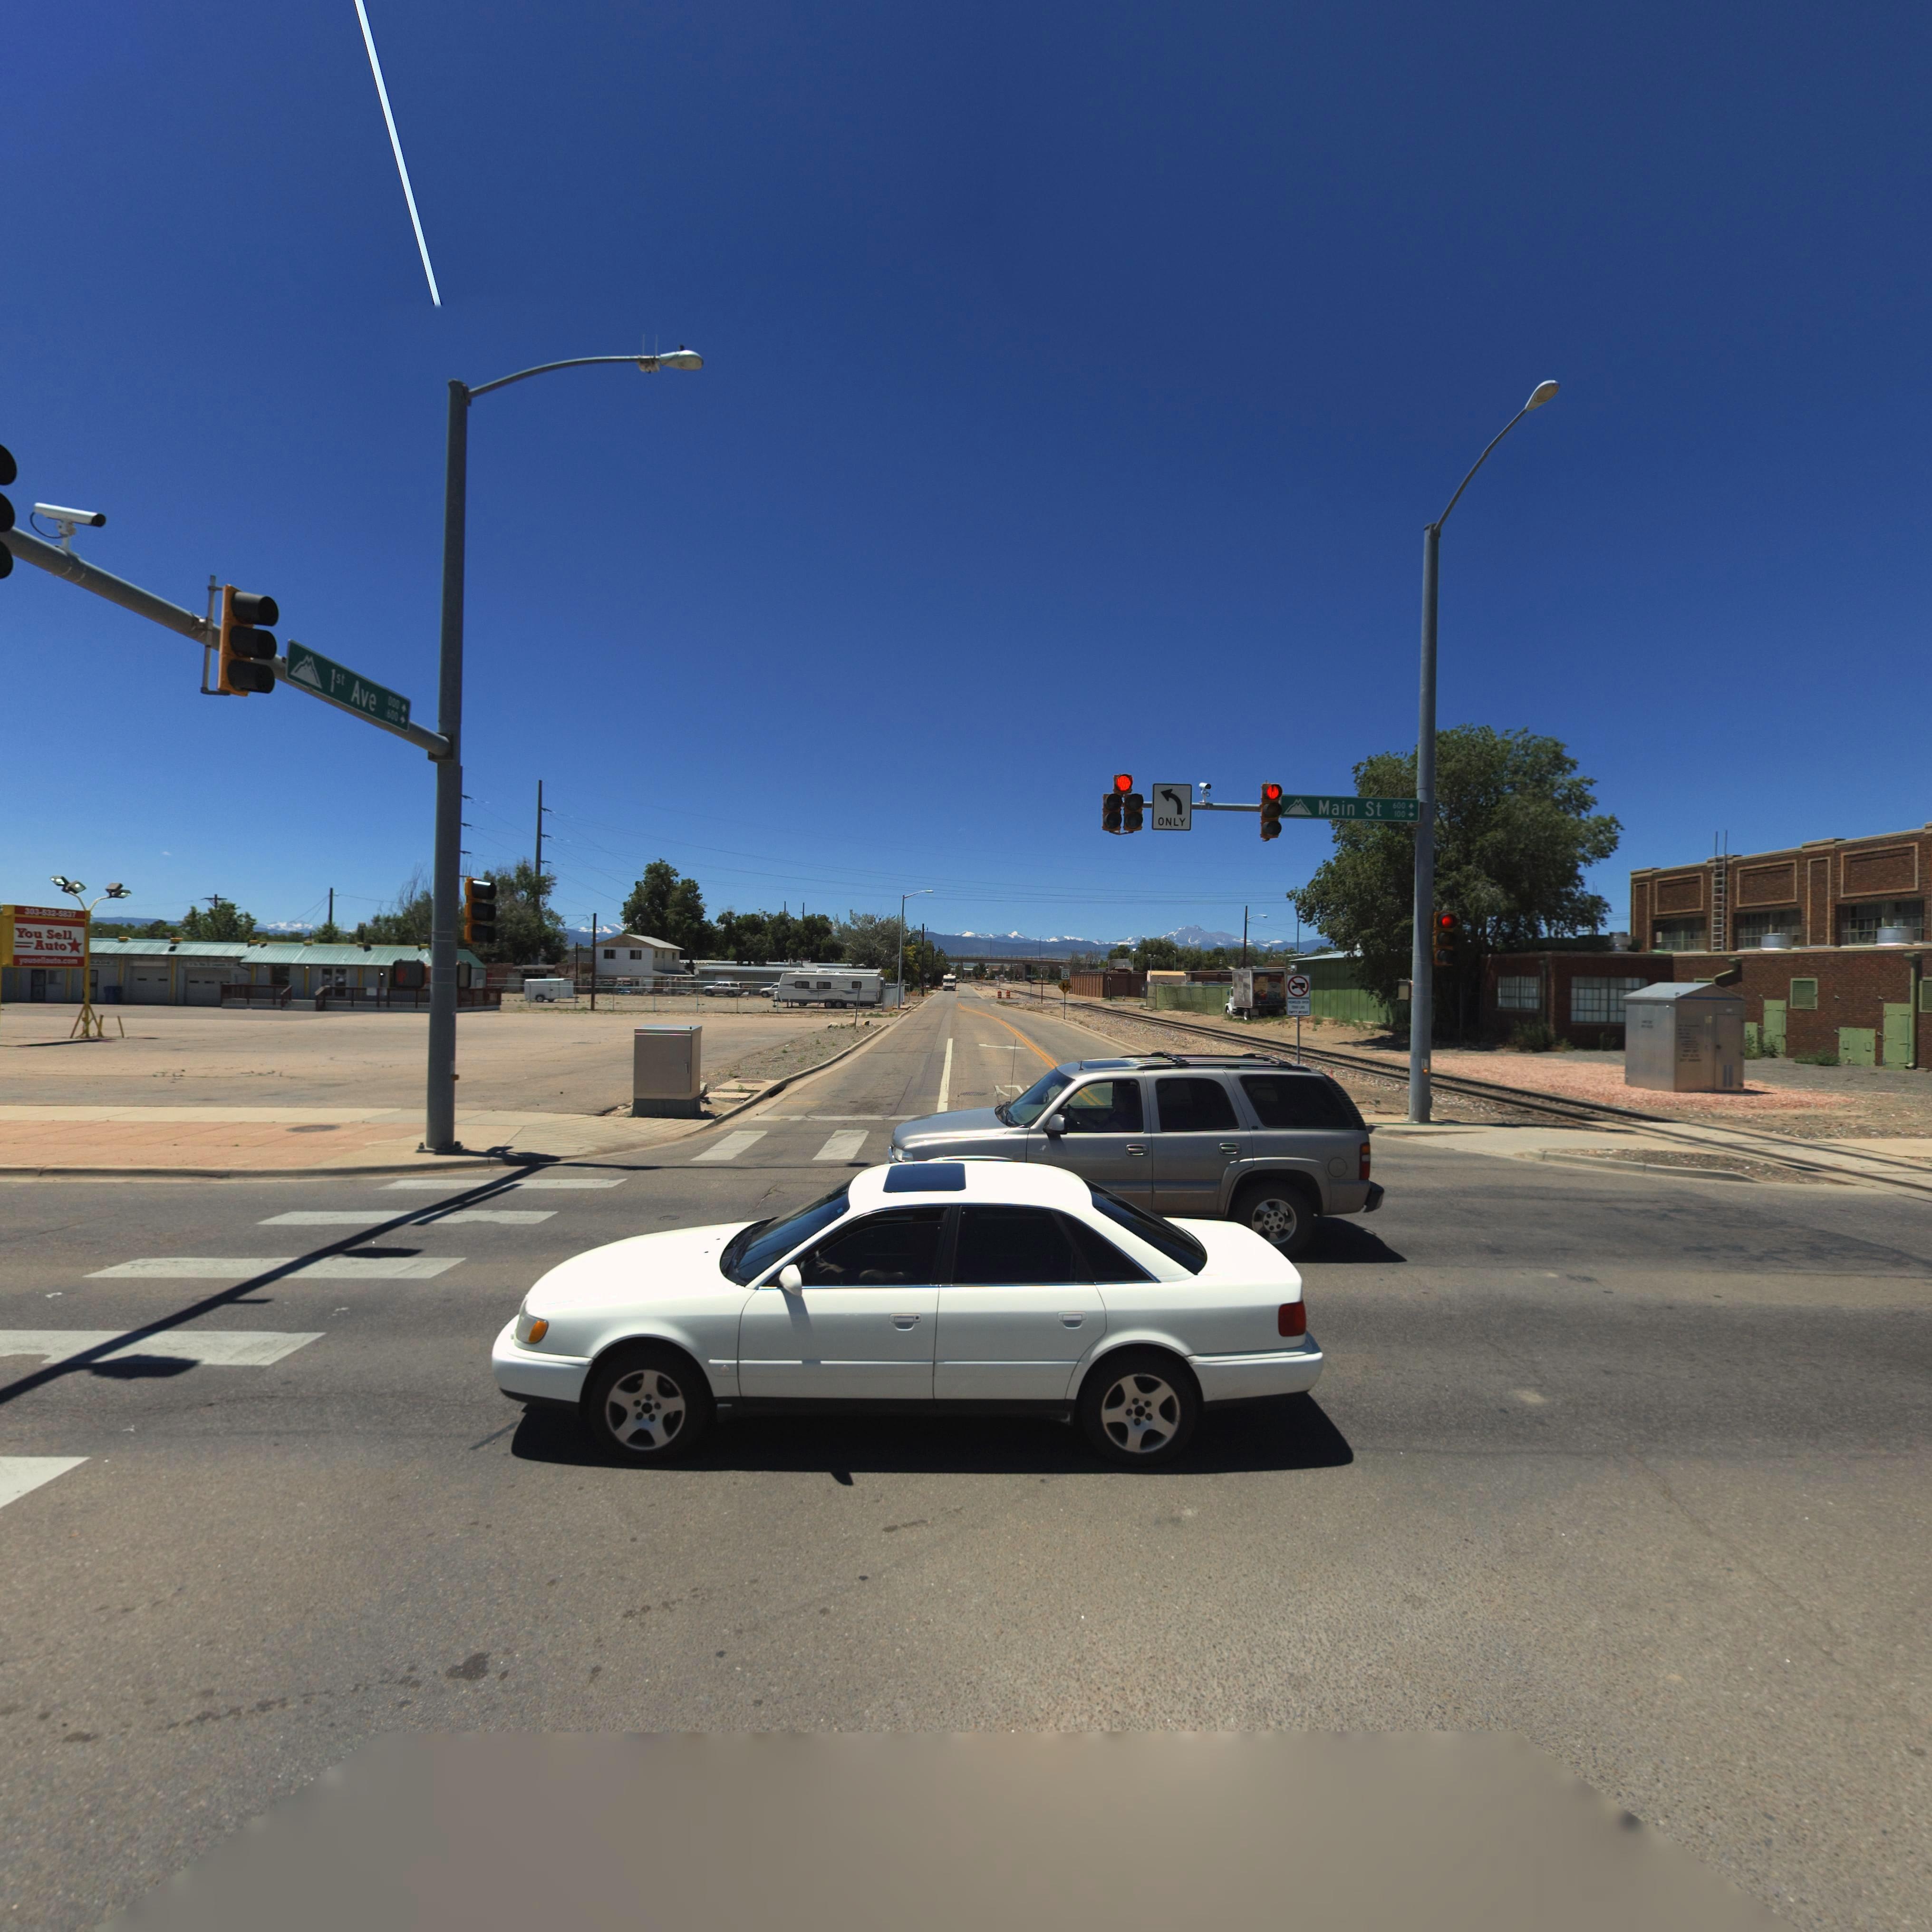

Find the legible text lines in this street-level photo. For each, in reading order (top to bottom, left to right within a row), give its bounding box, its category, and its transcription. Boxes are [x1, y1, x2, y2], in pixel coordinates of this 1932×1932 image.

[329, 667, 377, 712] StreetName: 1st Ave
[387, 695, 400, 710] StreetNumberRange: 000
[386, 707, 406, 724] StreetNumberRange: 600->
[1318, 799, 1383, 817] StreetName: Main St
[1392, 802, 1406, 809] StreetNumberRange: 600
[1393, 810, 1415, 818] StreetNumberRange: 100->